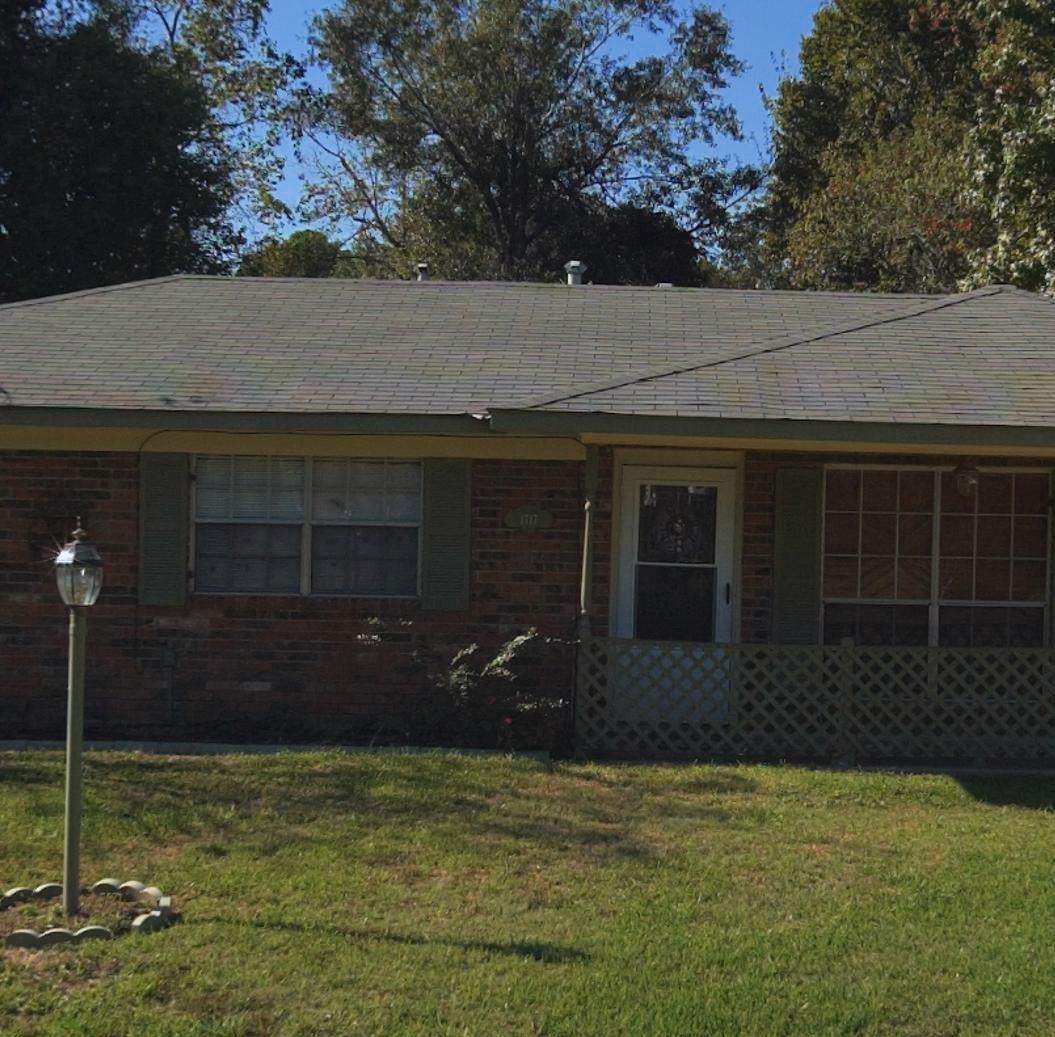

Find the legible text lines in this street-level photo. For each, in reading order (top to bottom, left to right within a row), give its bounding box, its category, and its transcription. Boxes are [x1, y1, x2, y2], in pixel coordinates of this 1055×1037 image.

[519, 514, 539, 525] StreetNumber: 1717